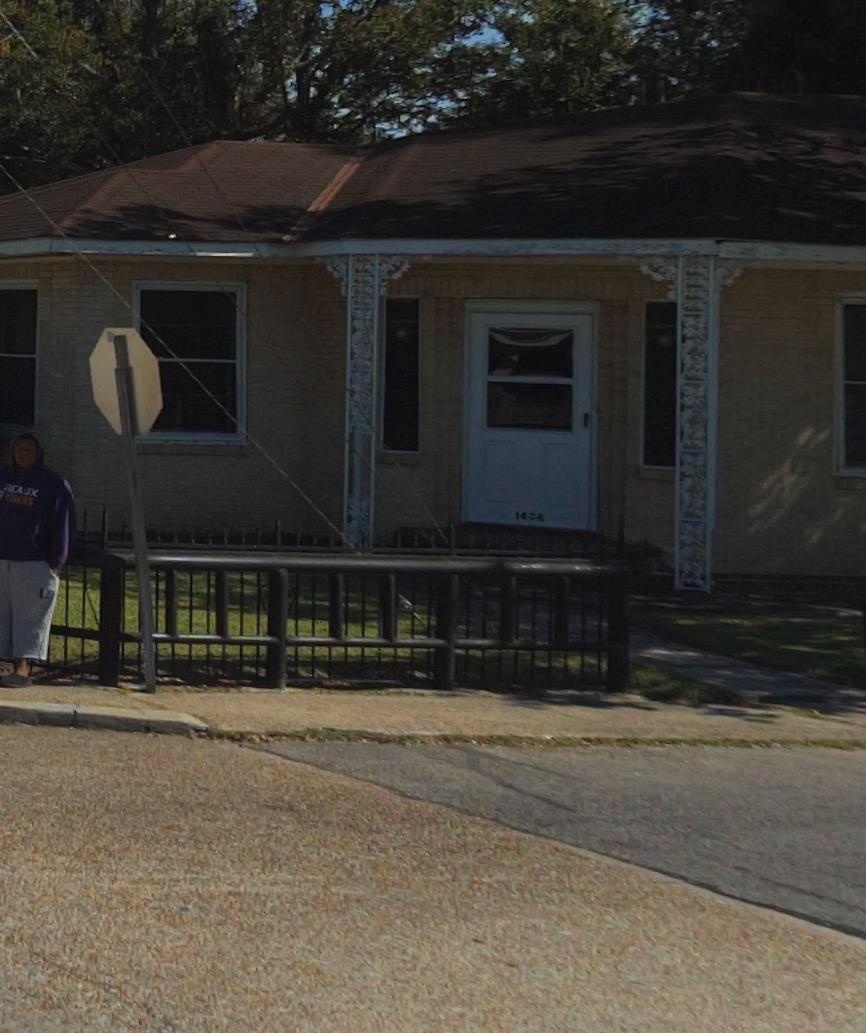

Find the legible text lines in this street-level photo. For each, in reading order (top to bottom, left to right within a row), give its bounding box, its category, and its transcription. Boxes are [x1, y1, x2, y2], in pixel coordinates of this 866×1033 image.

[513, 508, 547, 525] StreetNumber: 1408